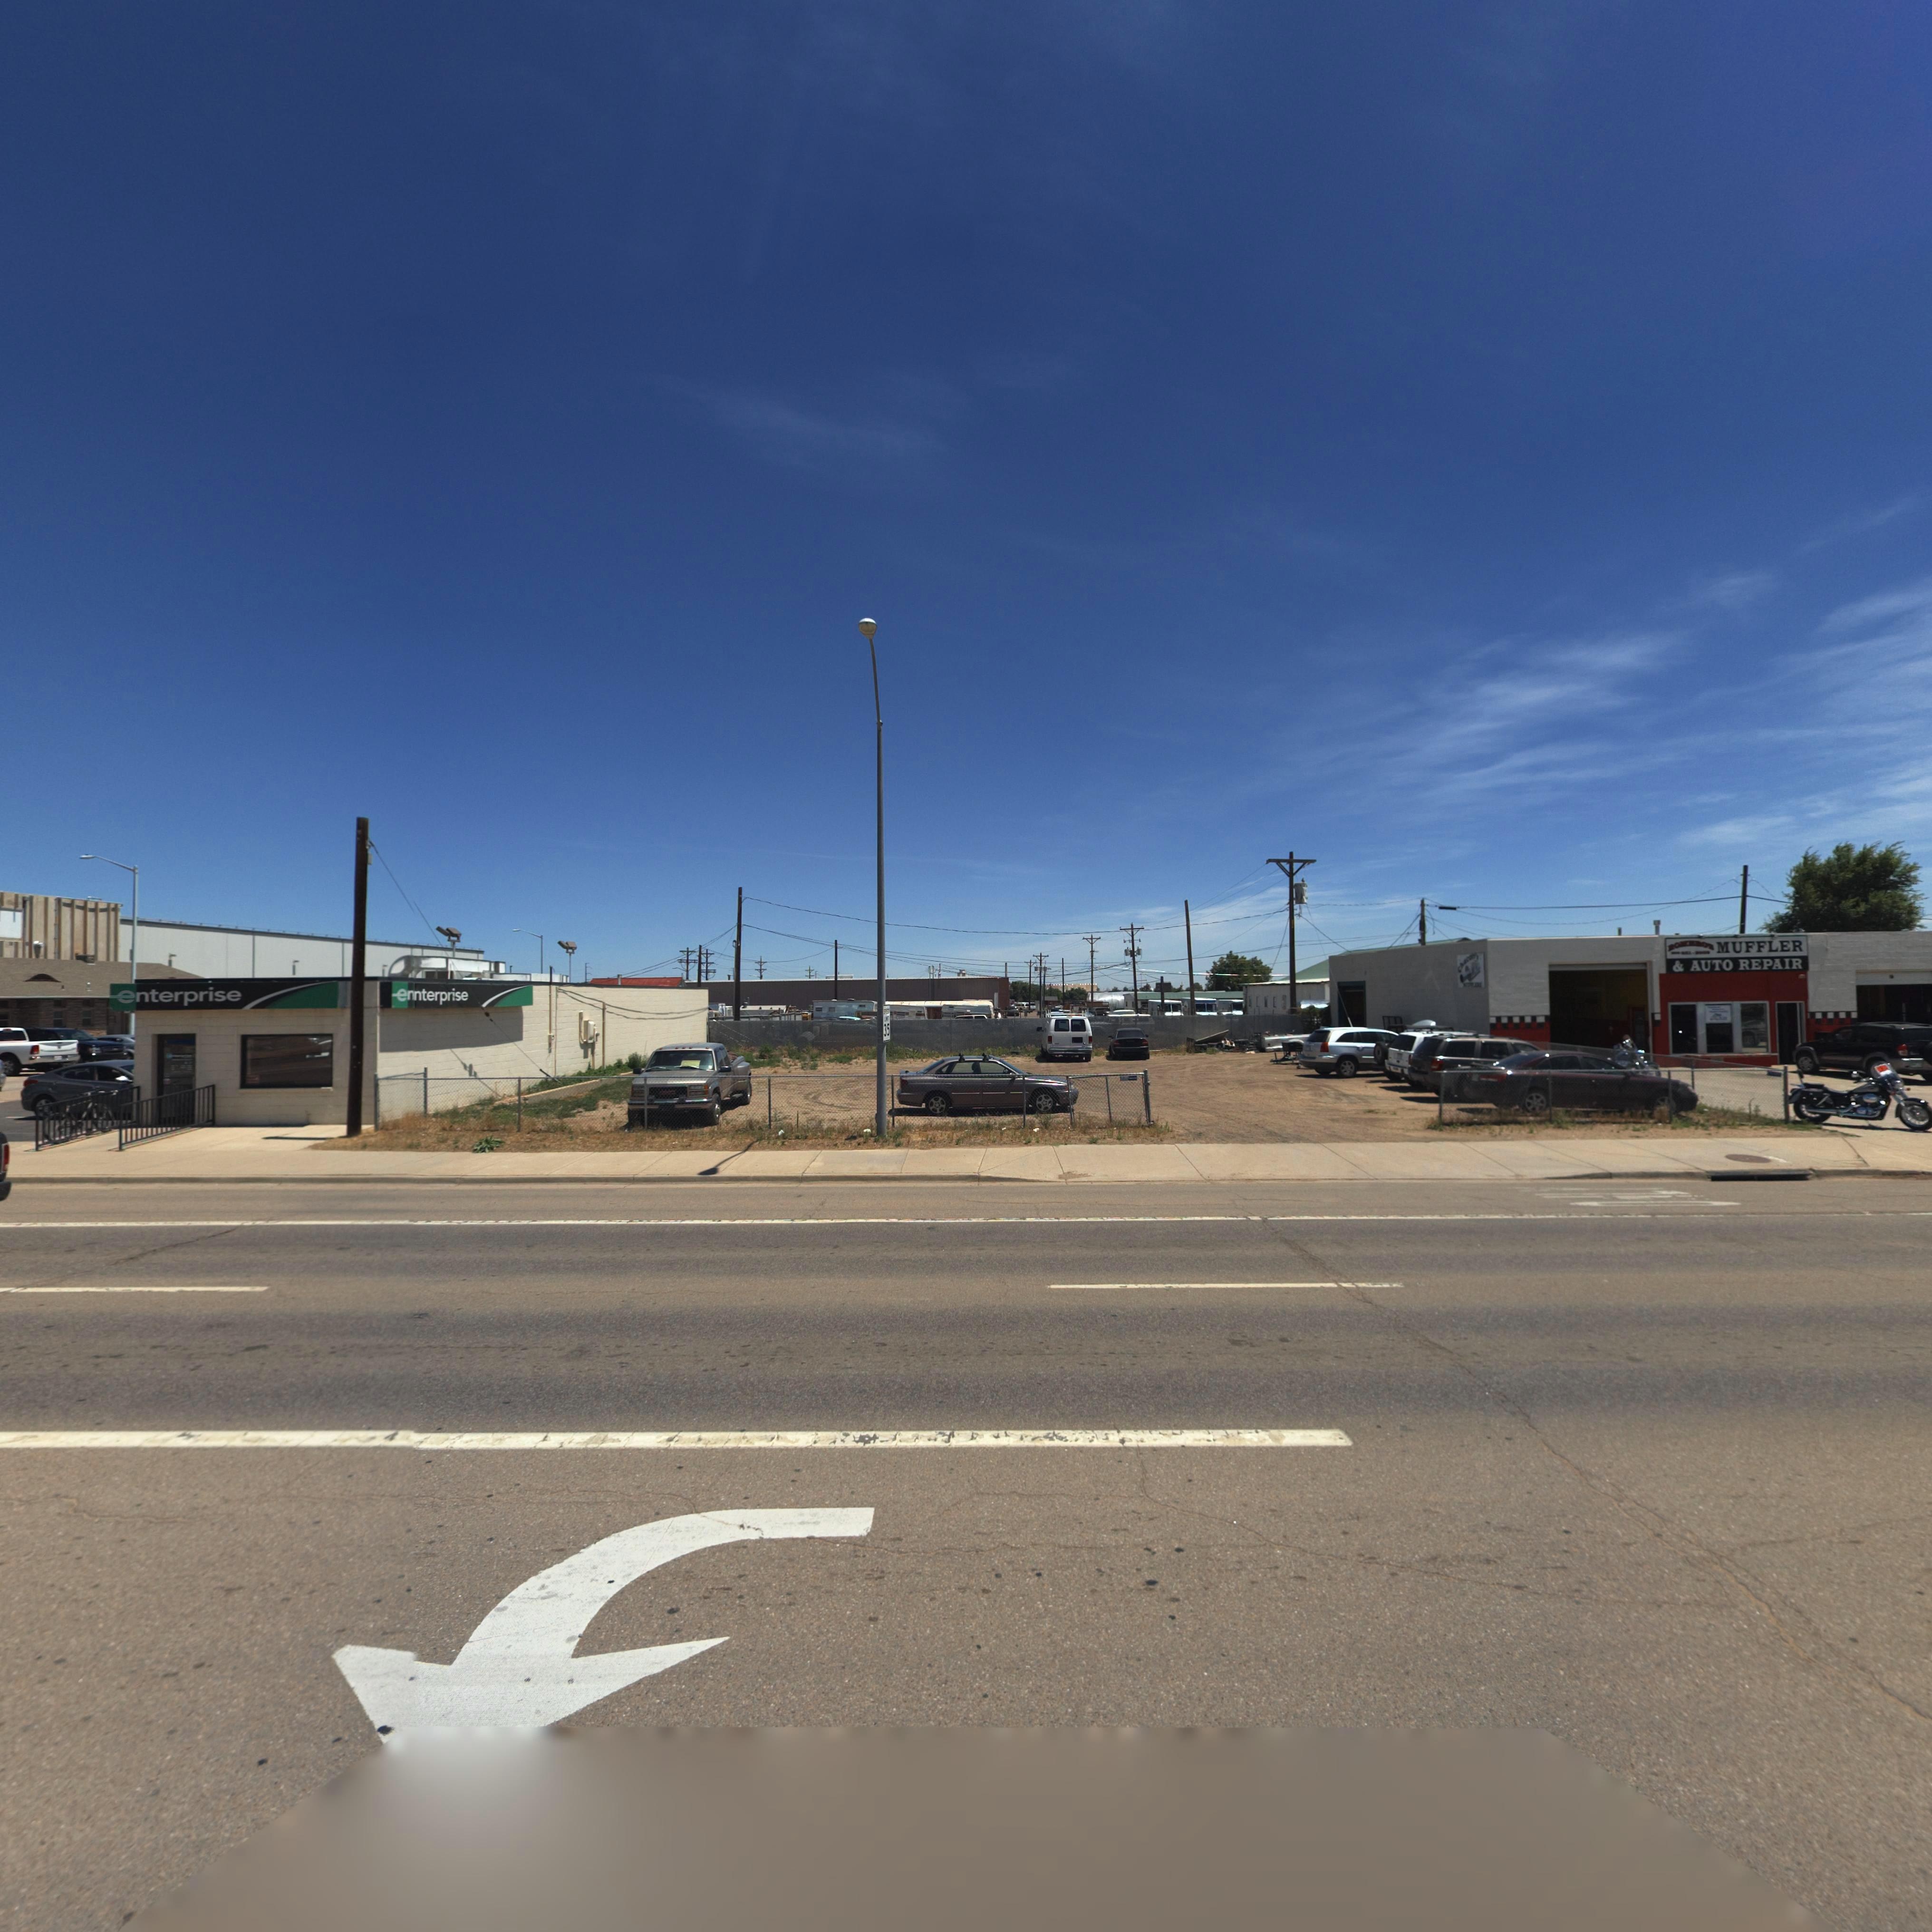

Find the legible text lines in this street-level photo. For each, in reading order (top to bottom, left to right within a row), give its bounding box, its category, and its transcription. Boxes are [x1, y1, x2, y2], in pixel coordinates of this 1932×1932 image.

[1666, 940, 1714, 952] BusinessName: *ON****
[1715, 939, 1803, 954] BusinessName: MUFFLER
[1672, 957, 1802, 973] BusinessName: & AUTO REPAIR
[110, 986, 242, 1006] BusinessName: enterprise
[392, 986, 469, 1005] BusinessName: ennterprise